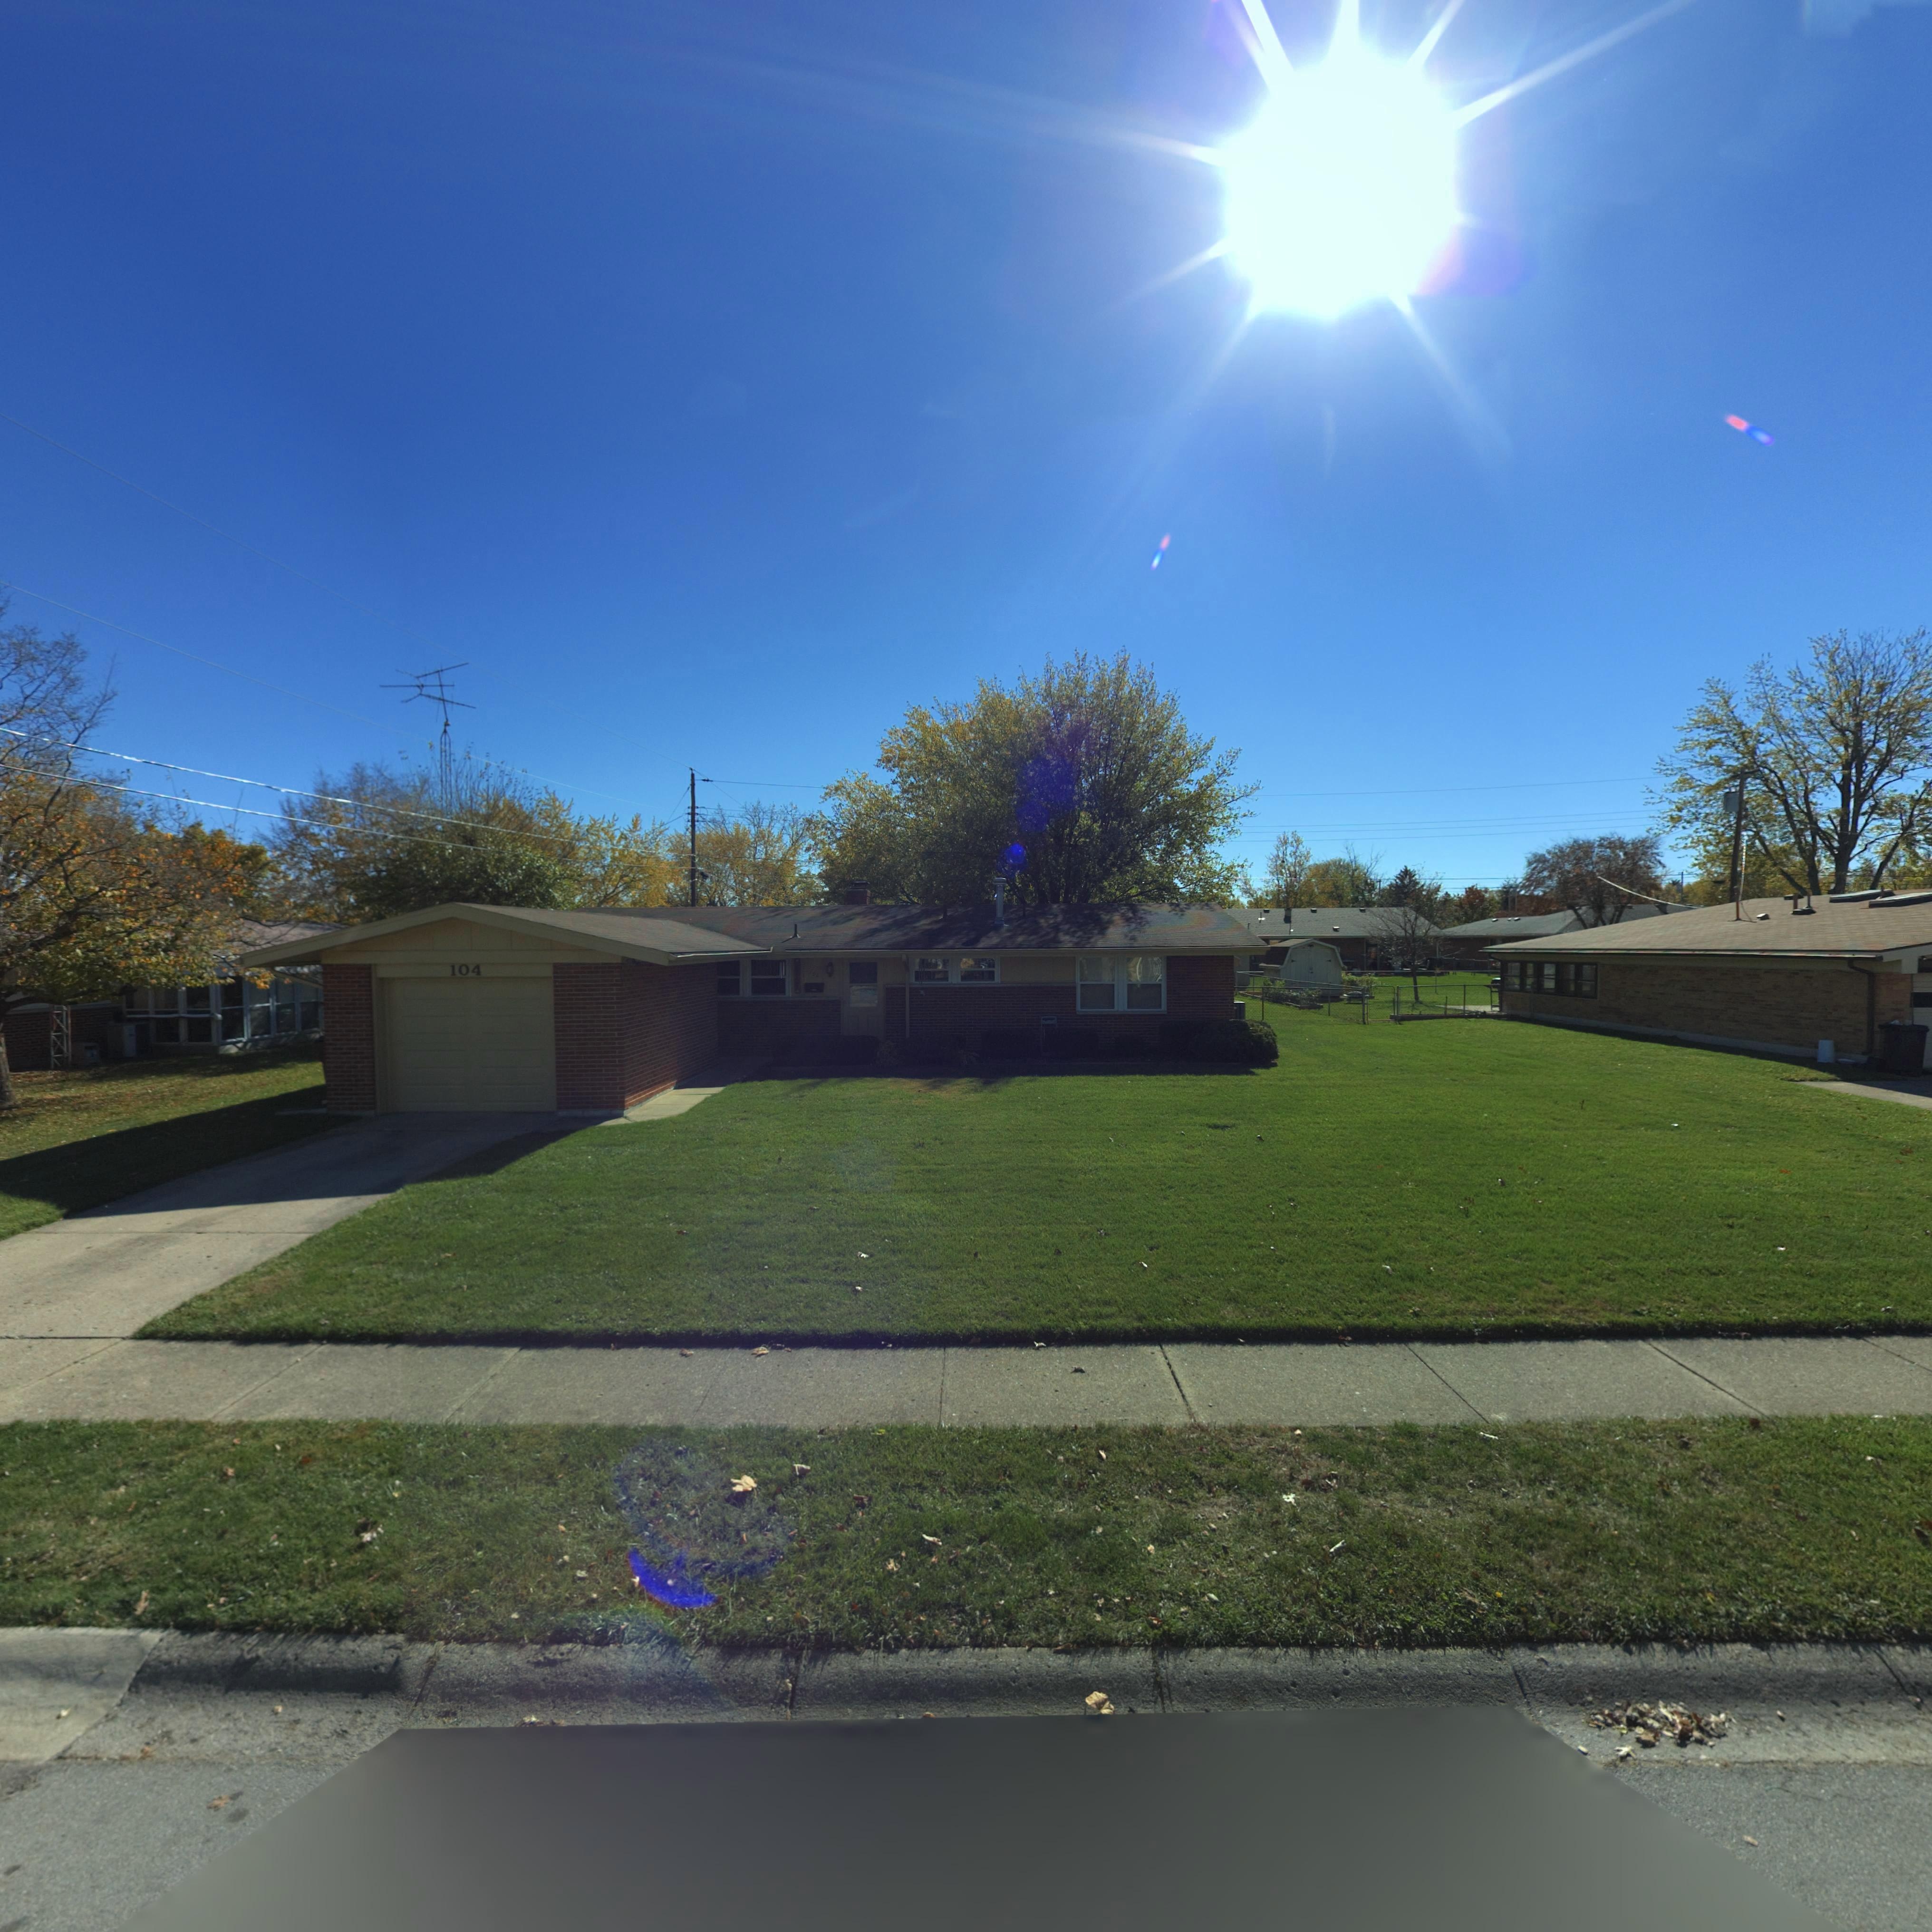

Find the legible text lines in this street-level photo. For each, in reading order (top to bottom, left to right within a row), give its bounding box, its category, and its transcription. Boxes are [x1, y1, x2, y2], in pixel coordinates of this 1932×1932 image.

[450, 963, 482, 977] StreetNumber: 104
[811, 971, 819, 978] StreetNumber: 0*